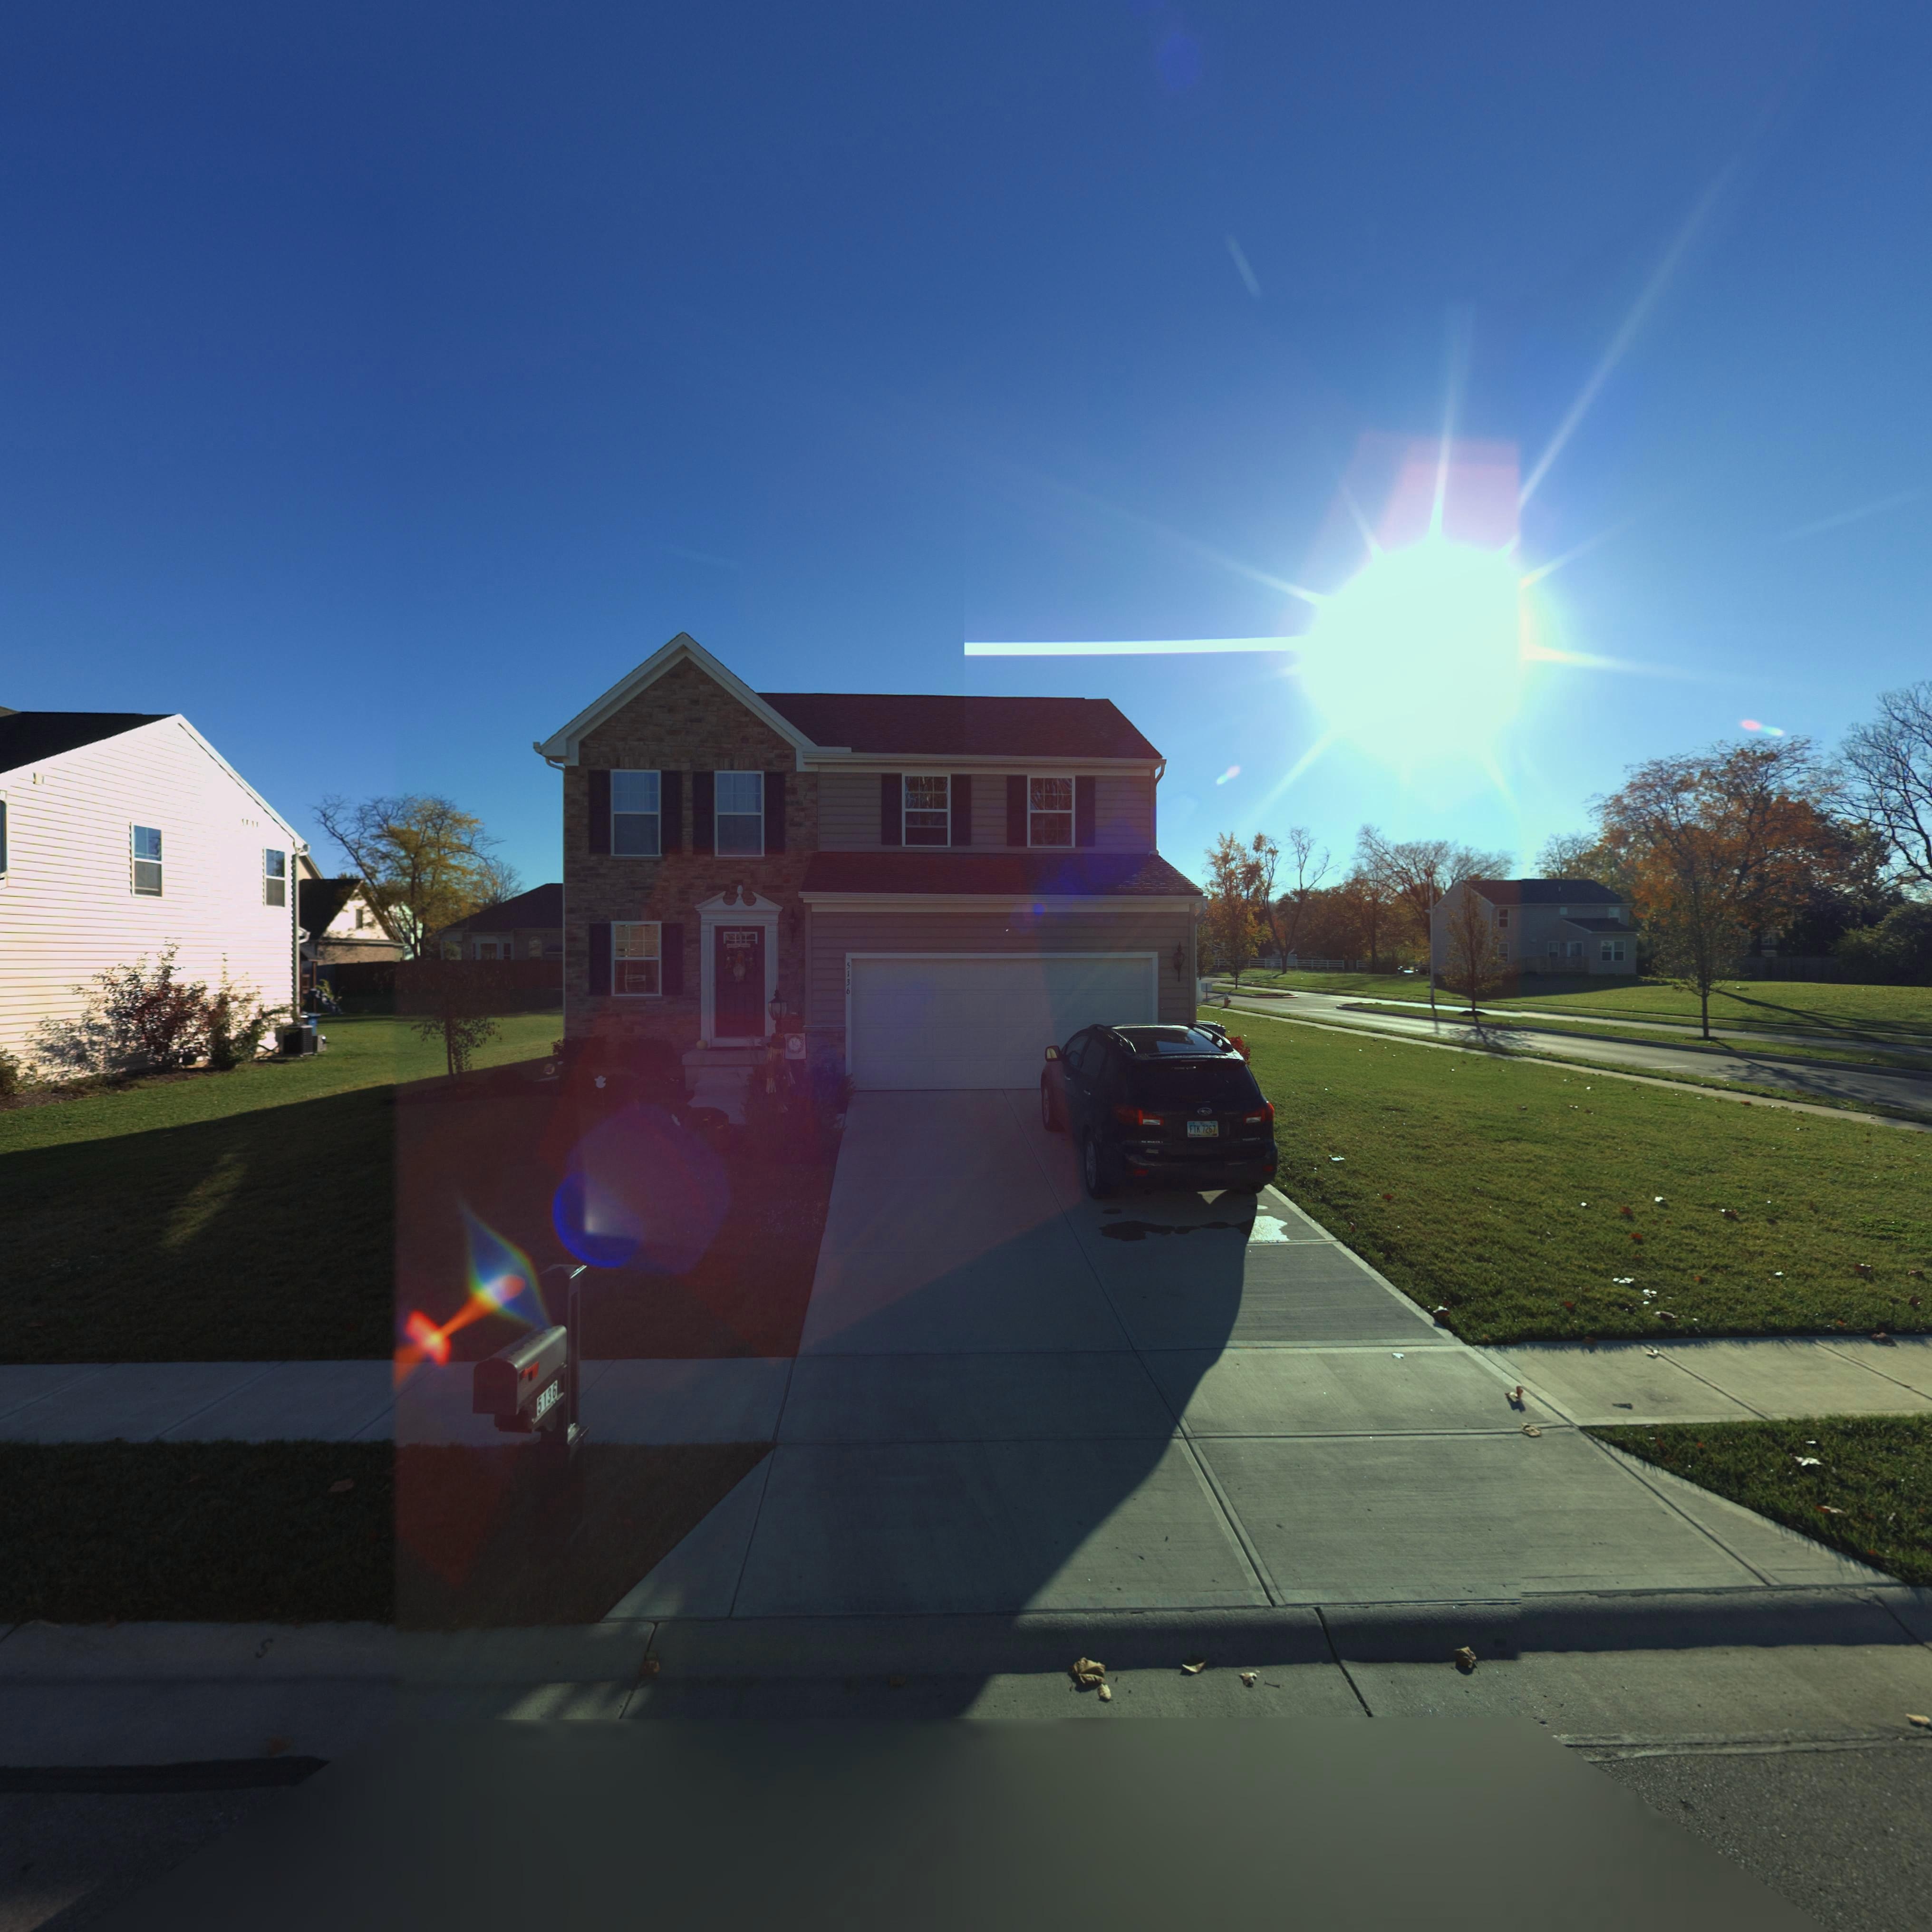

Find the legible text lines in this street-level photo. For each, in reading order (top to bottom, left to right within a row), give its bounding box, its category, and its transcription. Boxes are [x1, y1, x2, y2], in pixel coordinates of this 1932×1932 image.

[845, 961, 851, 996] StreetNumber: 5136
[537, 1381, 558, 1414] StreetNumber: 5136